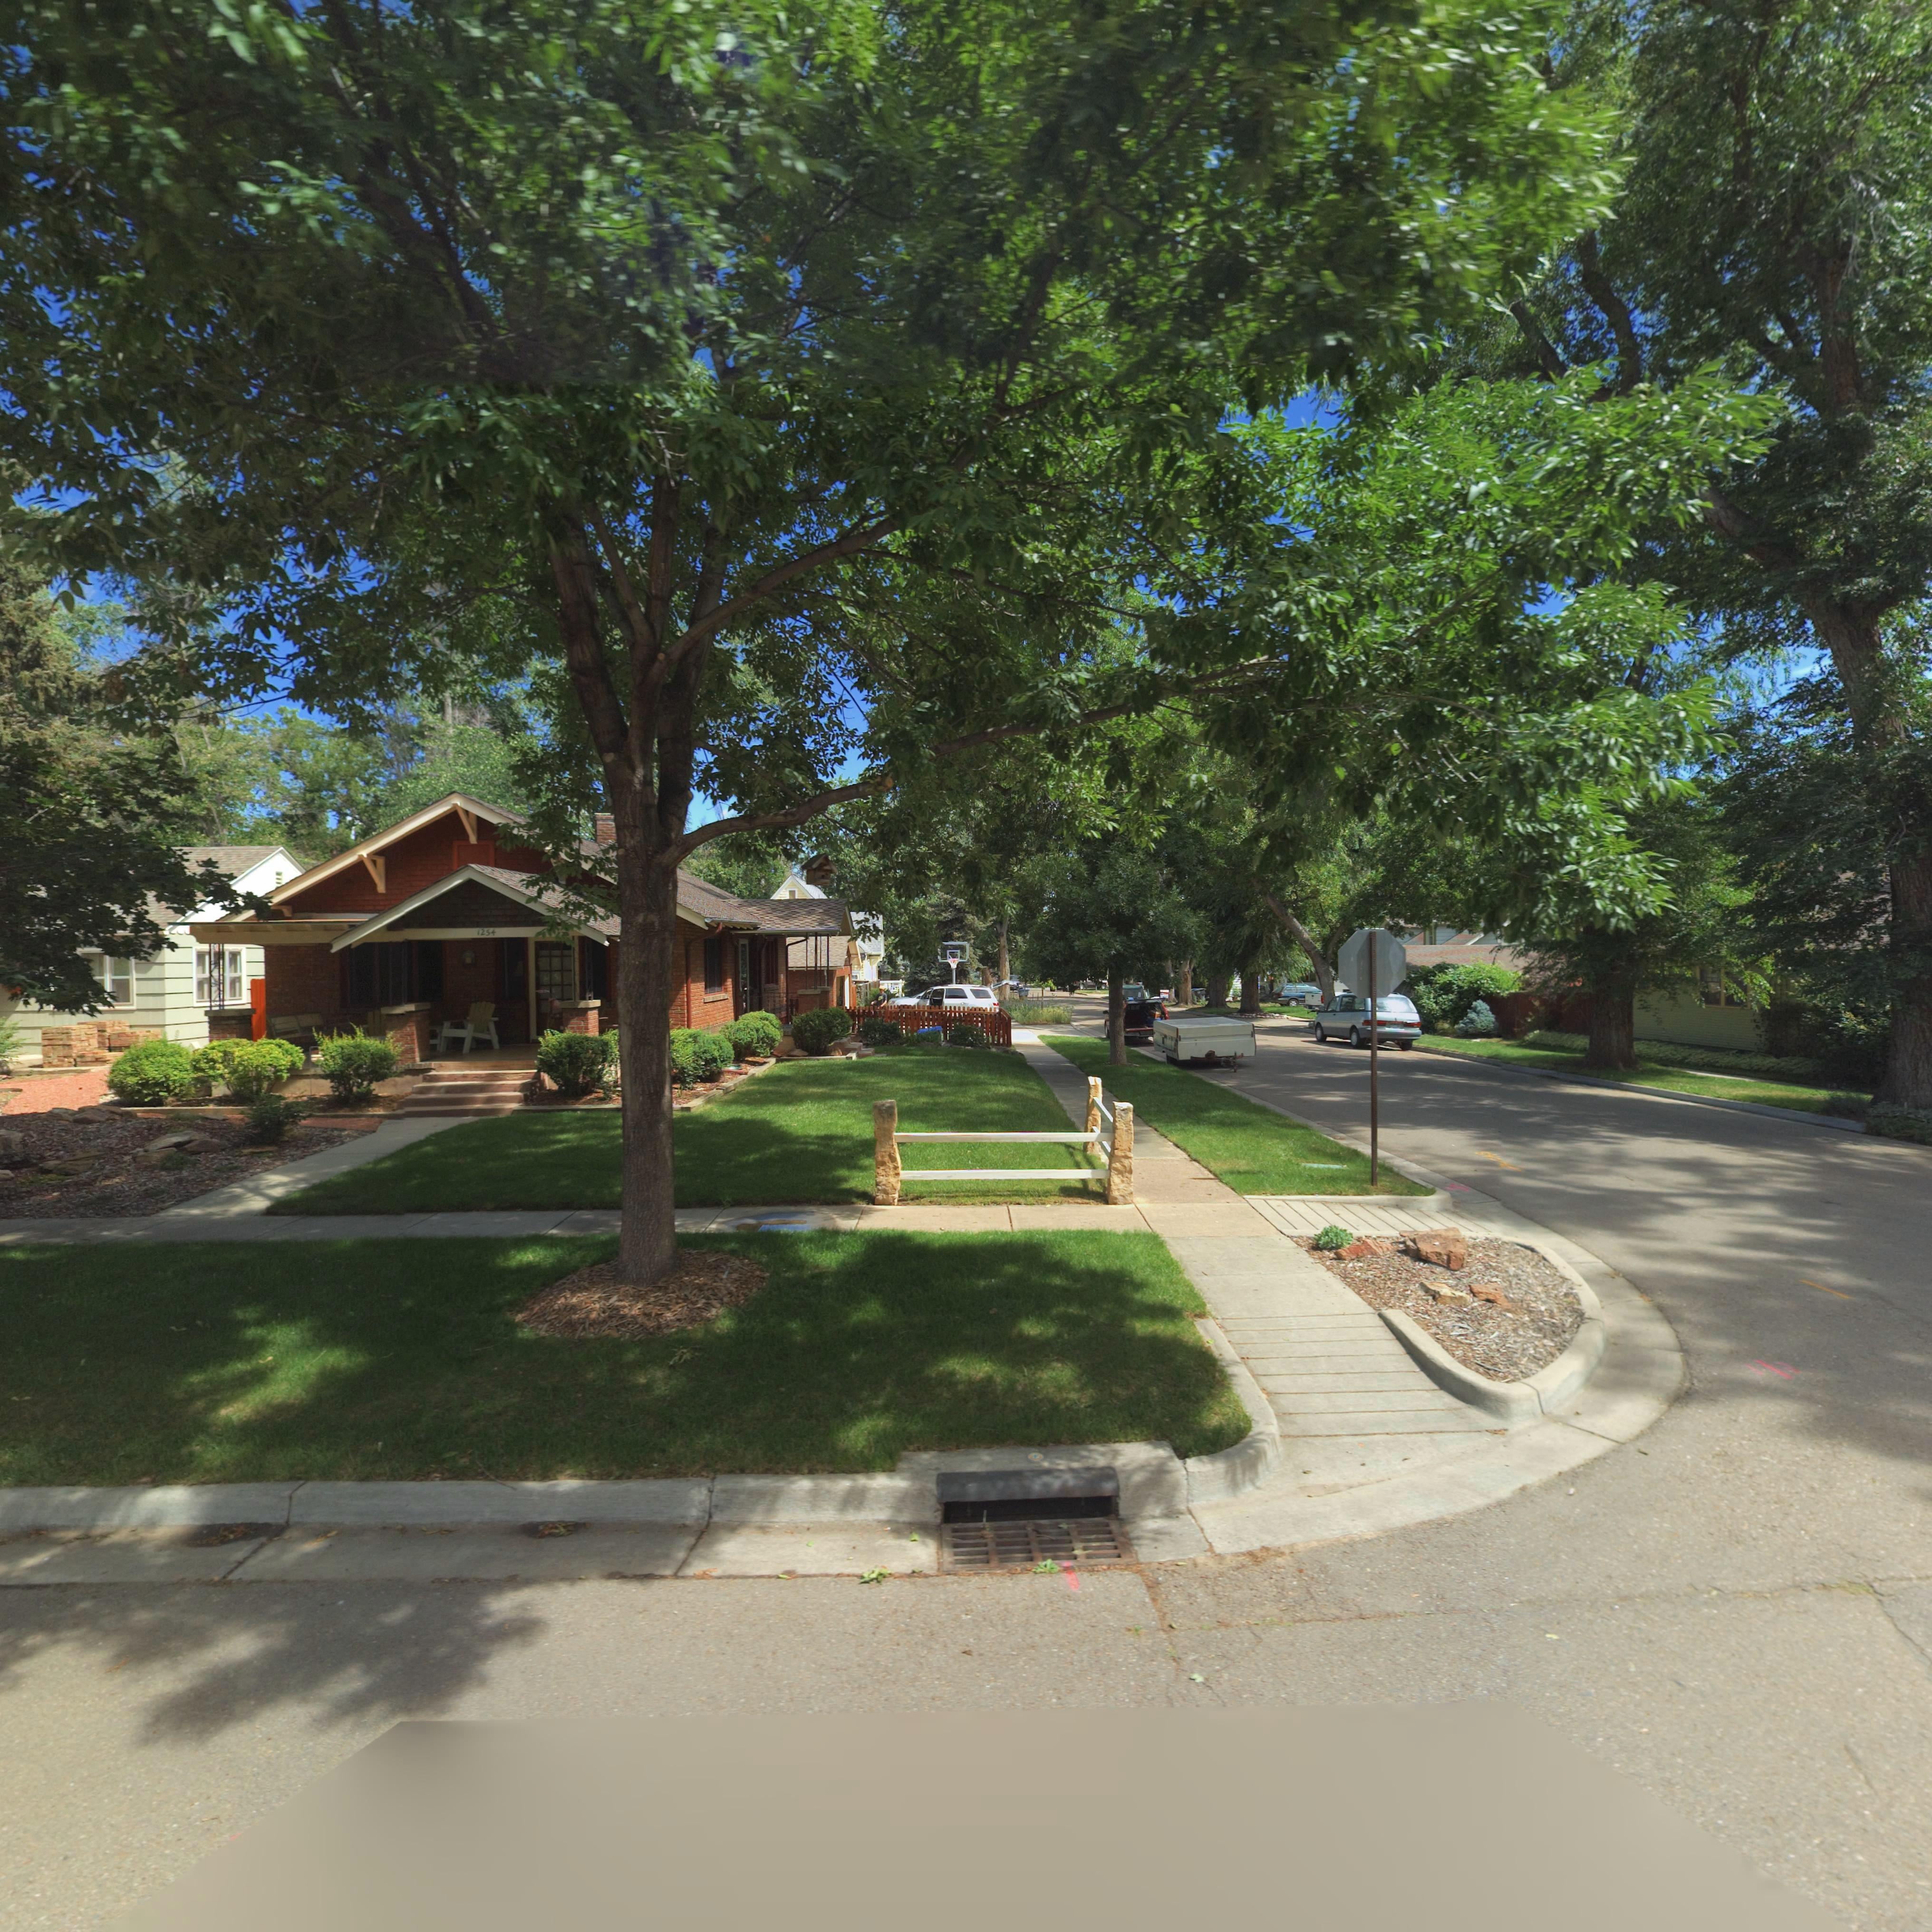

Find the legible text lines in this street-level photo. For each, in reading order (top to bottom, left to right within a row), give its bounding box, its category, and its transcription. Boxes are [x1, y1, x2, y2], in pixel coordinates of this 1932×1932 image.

[477, 928, 495, 936] StreetNumber: 1254